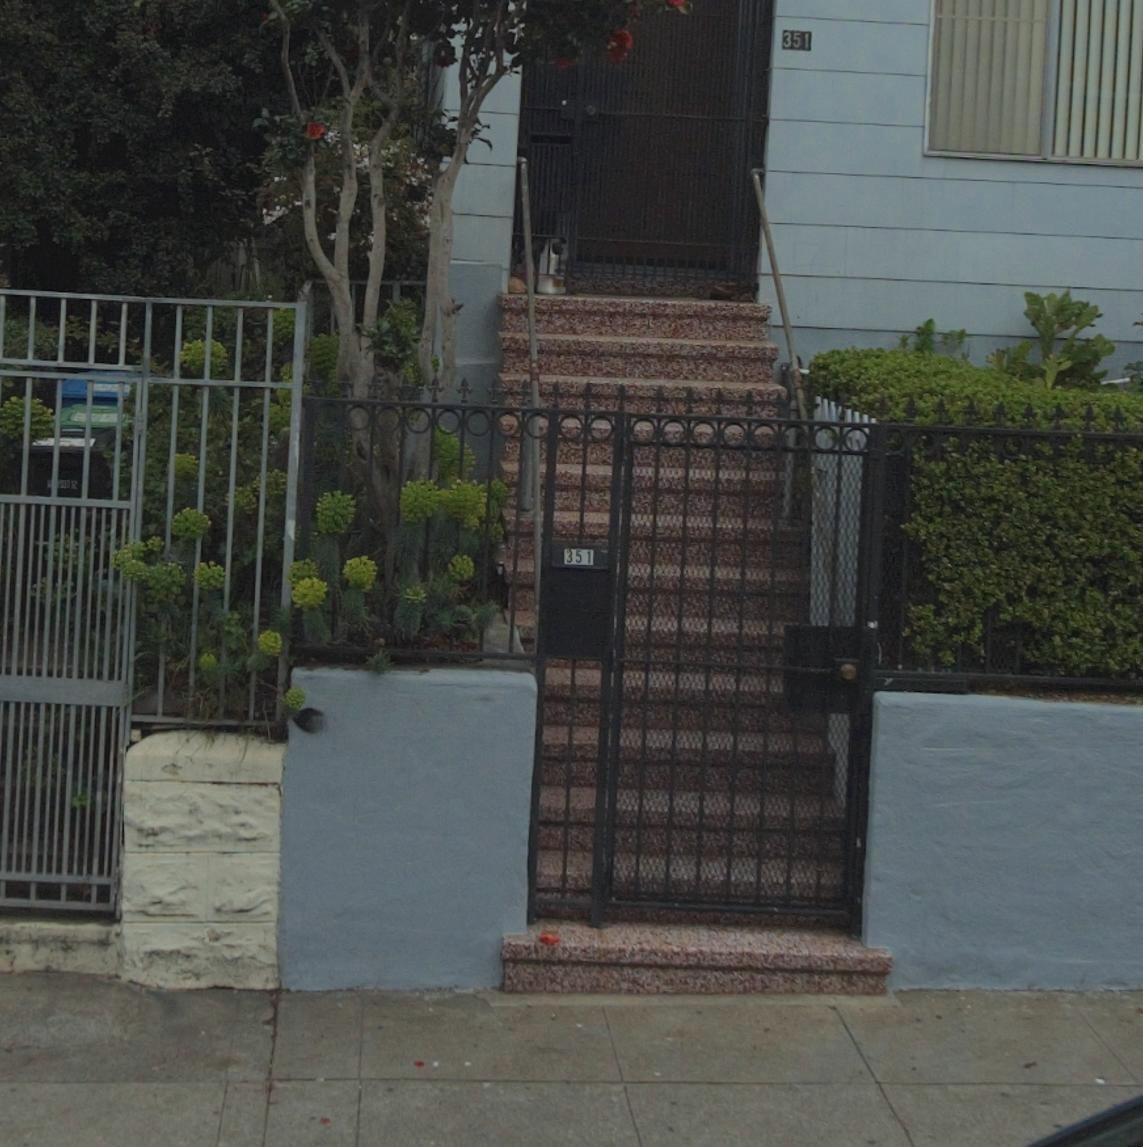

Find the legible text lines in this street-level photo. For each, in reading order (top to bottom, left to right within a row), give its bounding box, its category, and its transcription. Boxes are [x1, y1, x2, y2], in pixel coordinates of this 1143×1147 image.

[781, 30, 810, 50] StreetNumber: 351
[563, 548, 593, 566] StreetNumber: 351